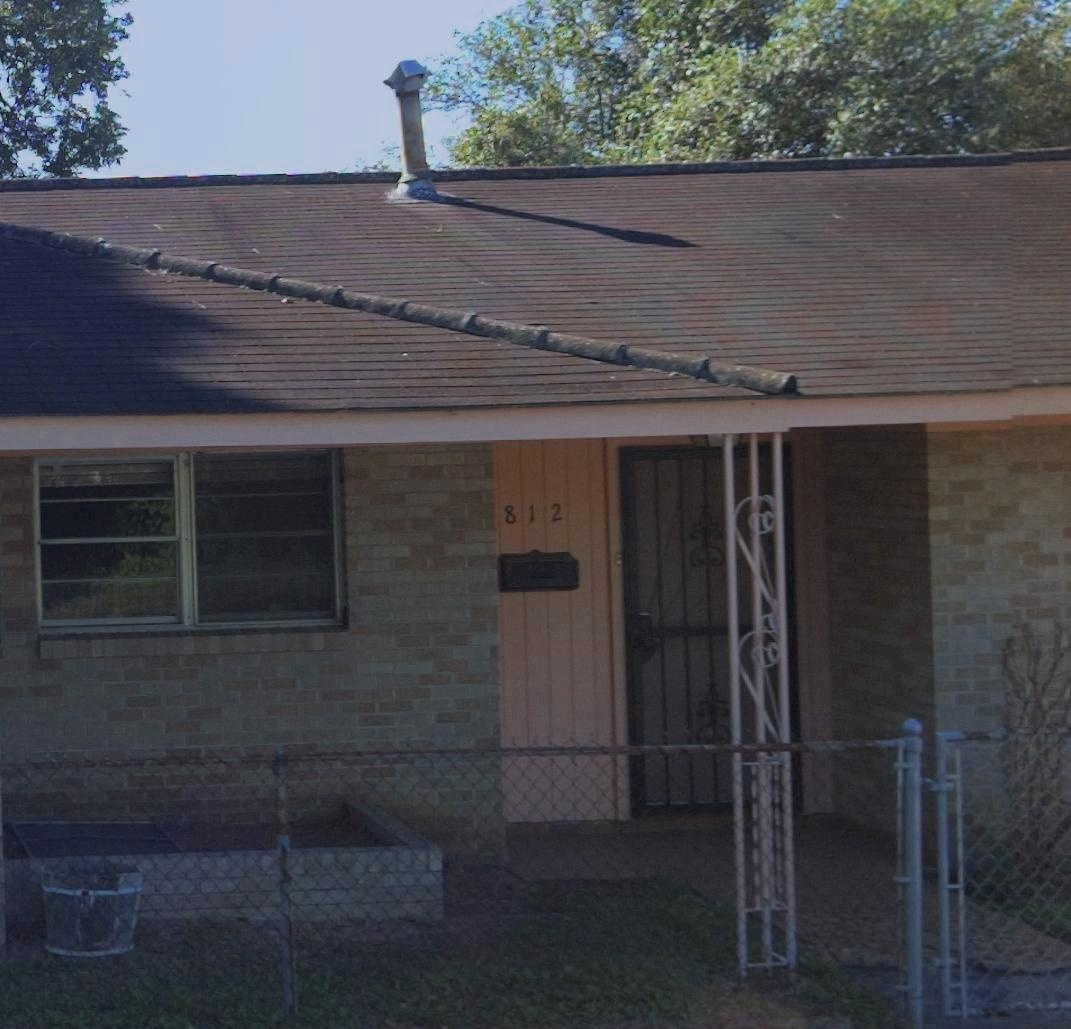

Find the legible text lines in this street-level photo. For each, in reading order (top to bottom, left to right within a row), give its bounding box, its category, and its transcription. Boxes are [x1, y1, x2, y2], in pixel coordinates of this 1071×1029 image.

[500, 500, 568, 529] StreetNumber: 812